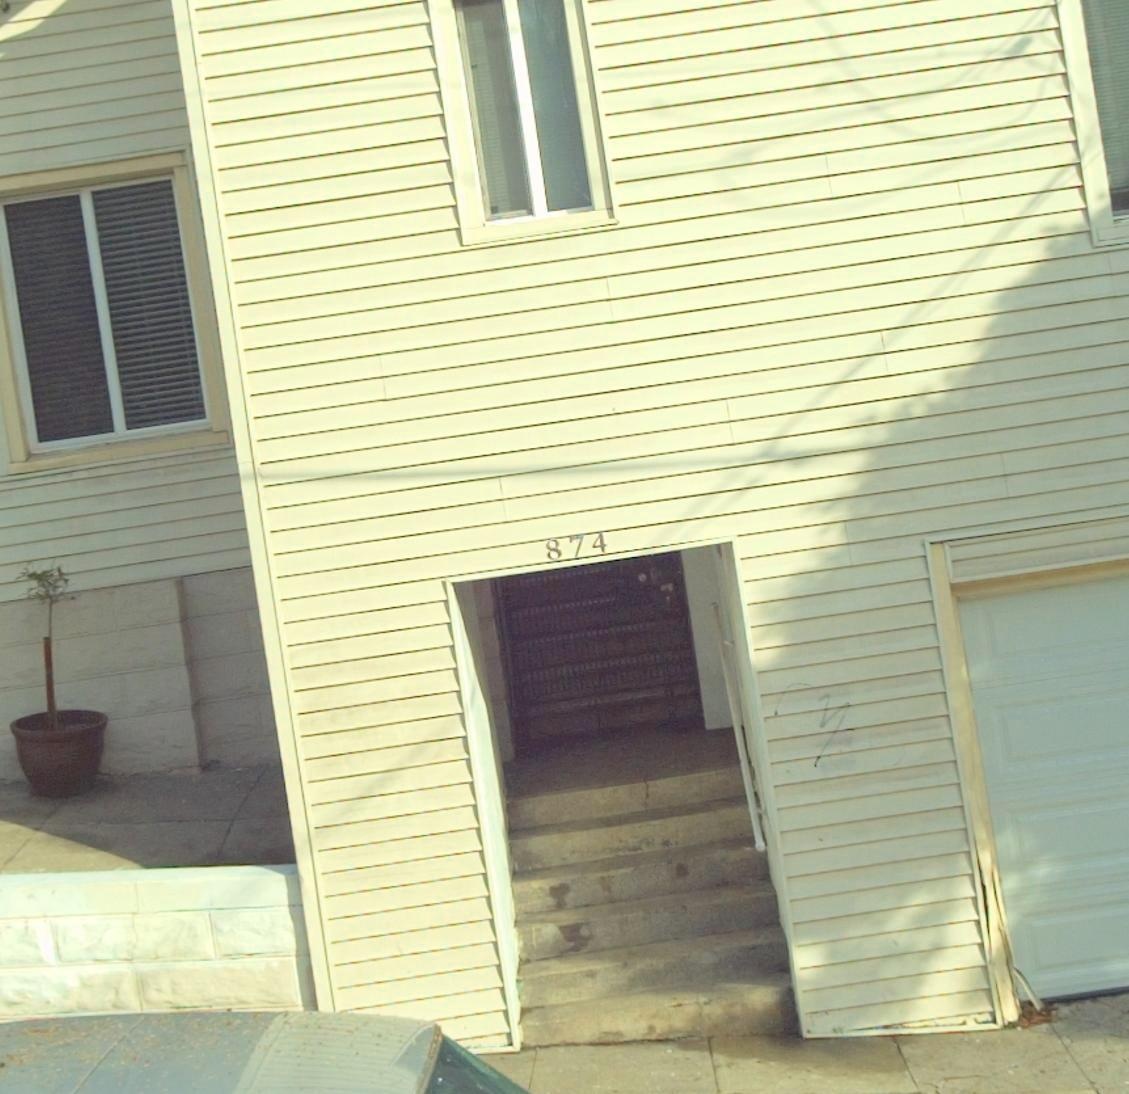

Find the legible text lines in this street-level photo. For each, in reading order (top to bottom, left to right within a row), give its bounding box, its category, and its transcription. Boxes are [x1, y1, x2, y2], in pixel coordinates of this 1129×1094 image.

[542, 528, 610, 565] StreetNumber: 874